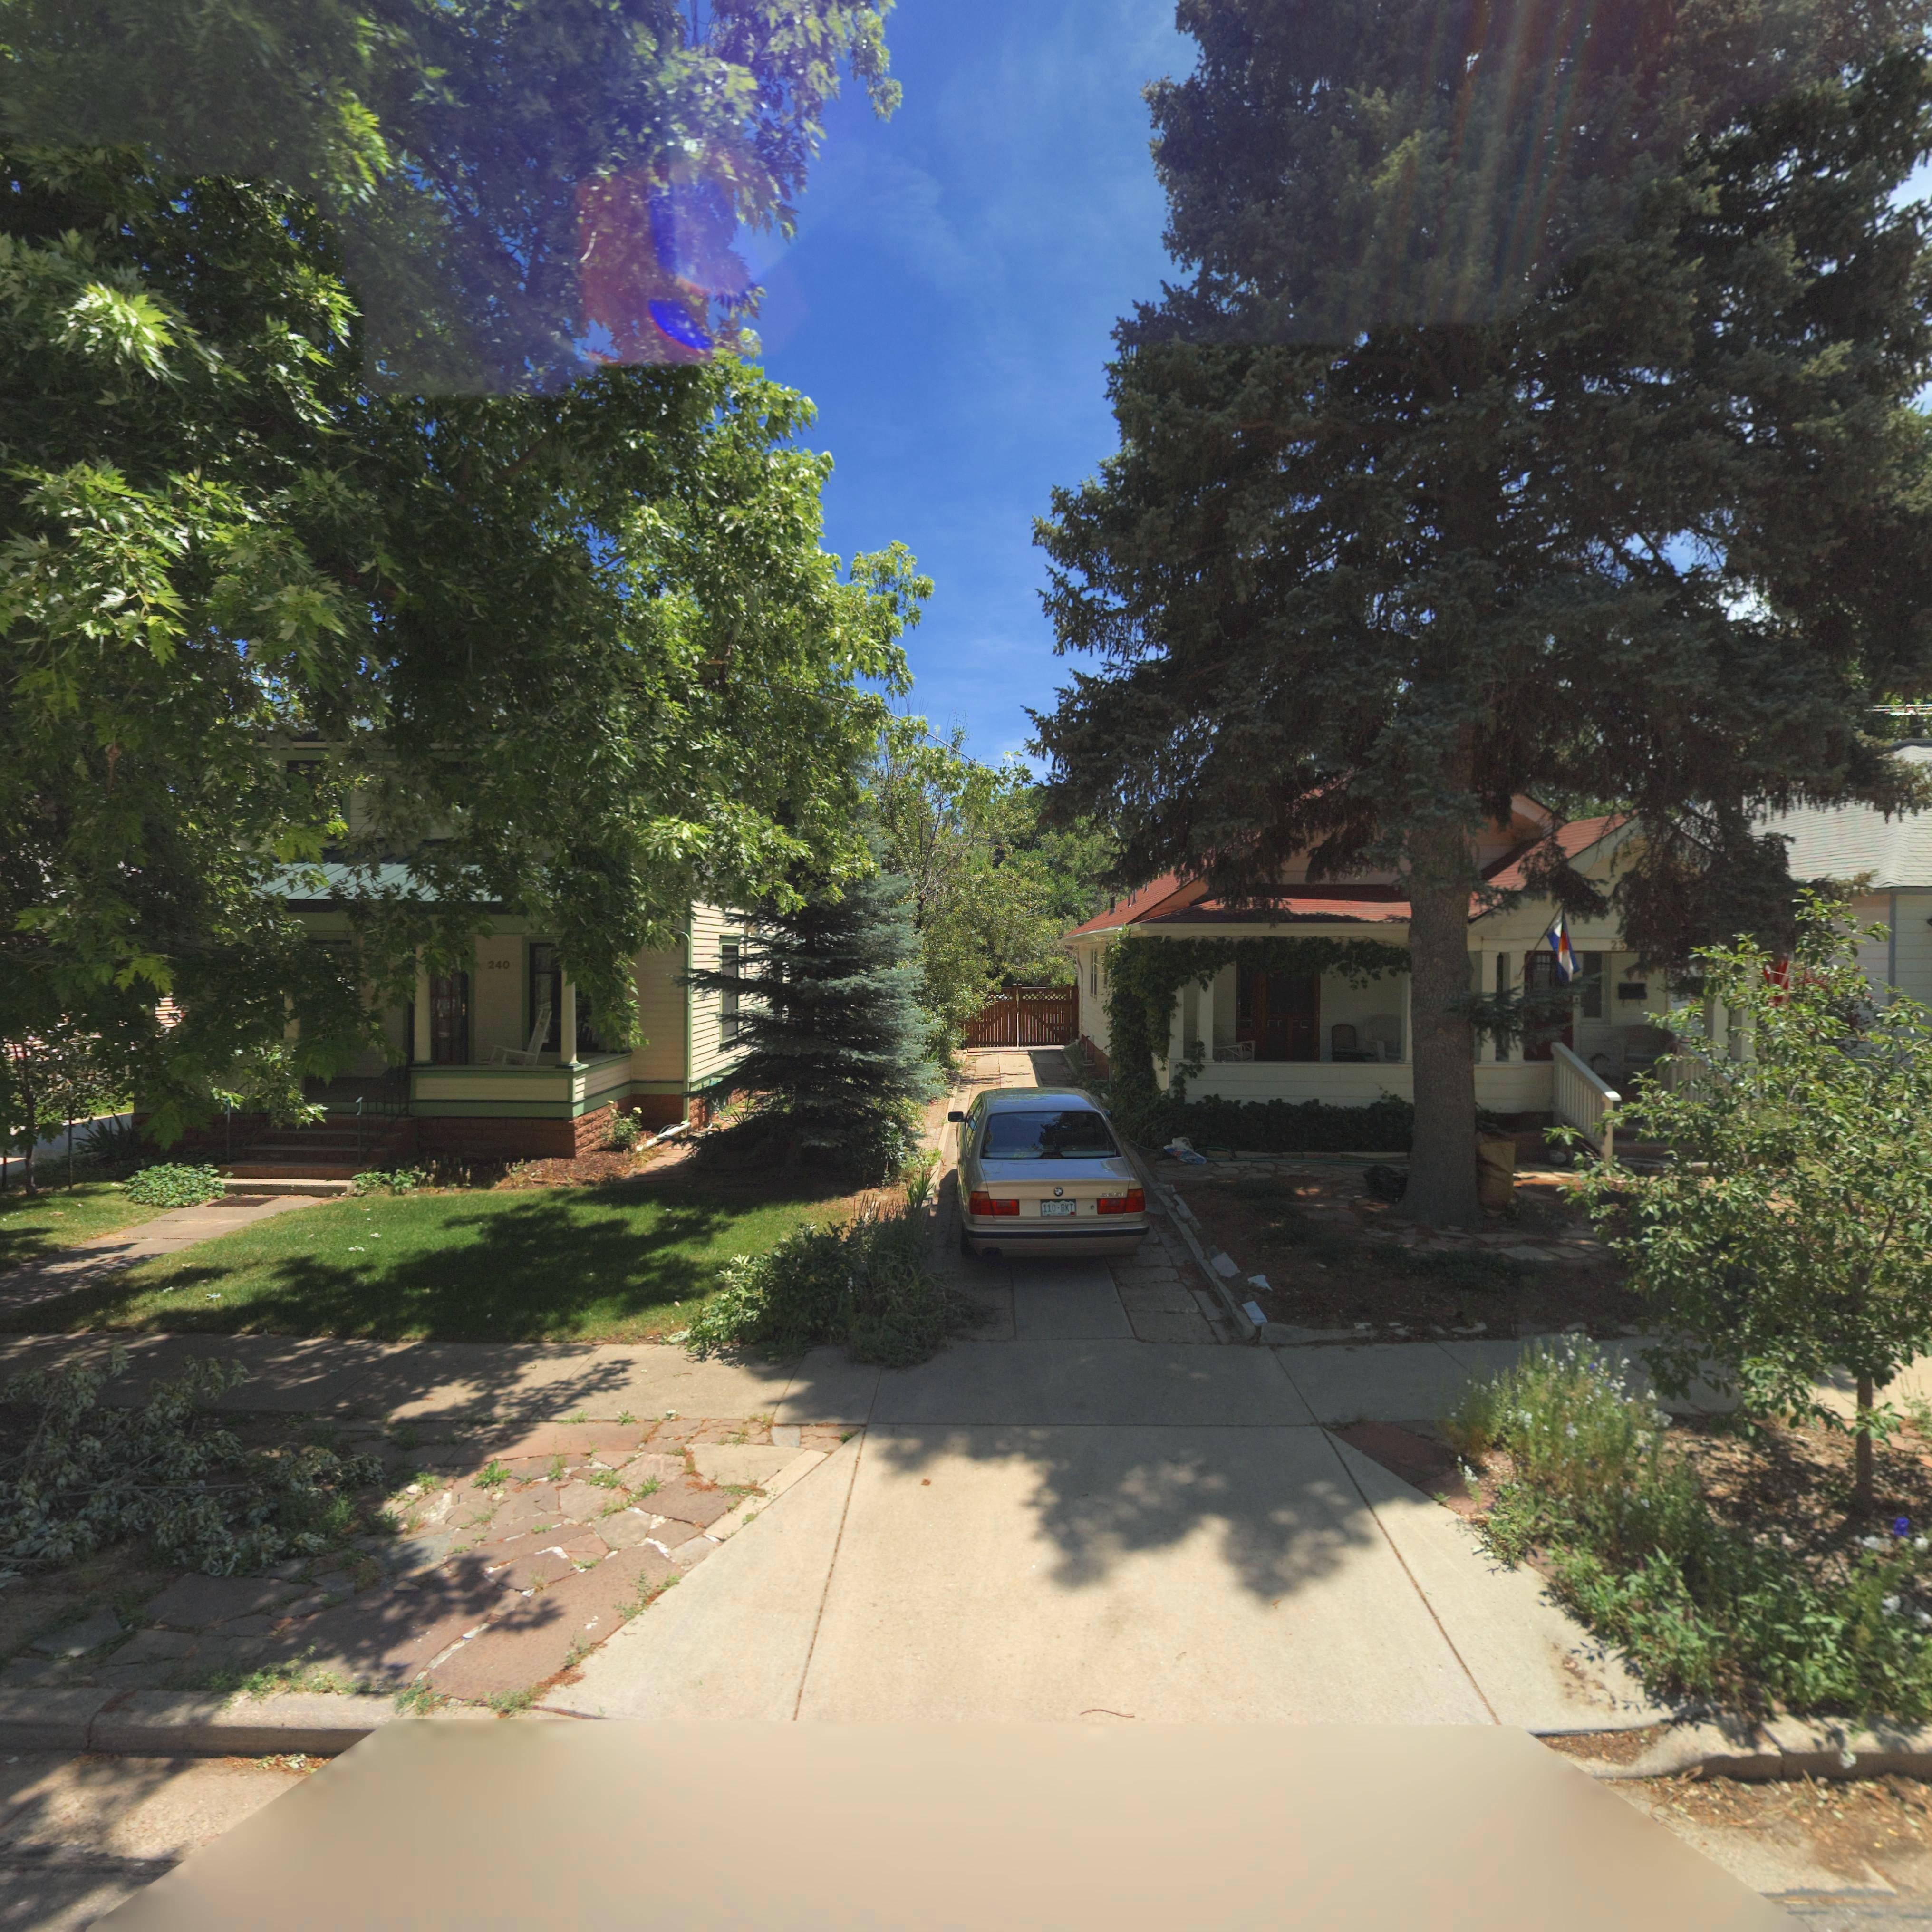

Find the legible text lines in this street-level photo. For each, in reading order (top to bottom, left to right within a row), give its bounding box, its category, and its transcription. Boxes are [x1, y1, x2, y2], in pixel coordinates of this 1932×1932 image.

[1610, 939, 1625, 950] StreetNumber: 23
[487, 960, 510, 969] StreetNumber: 240